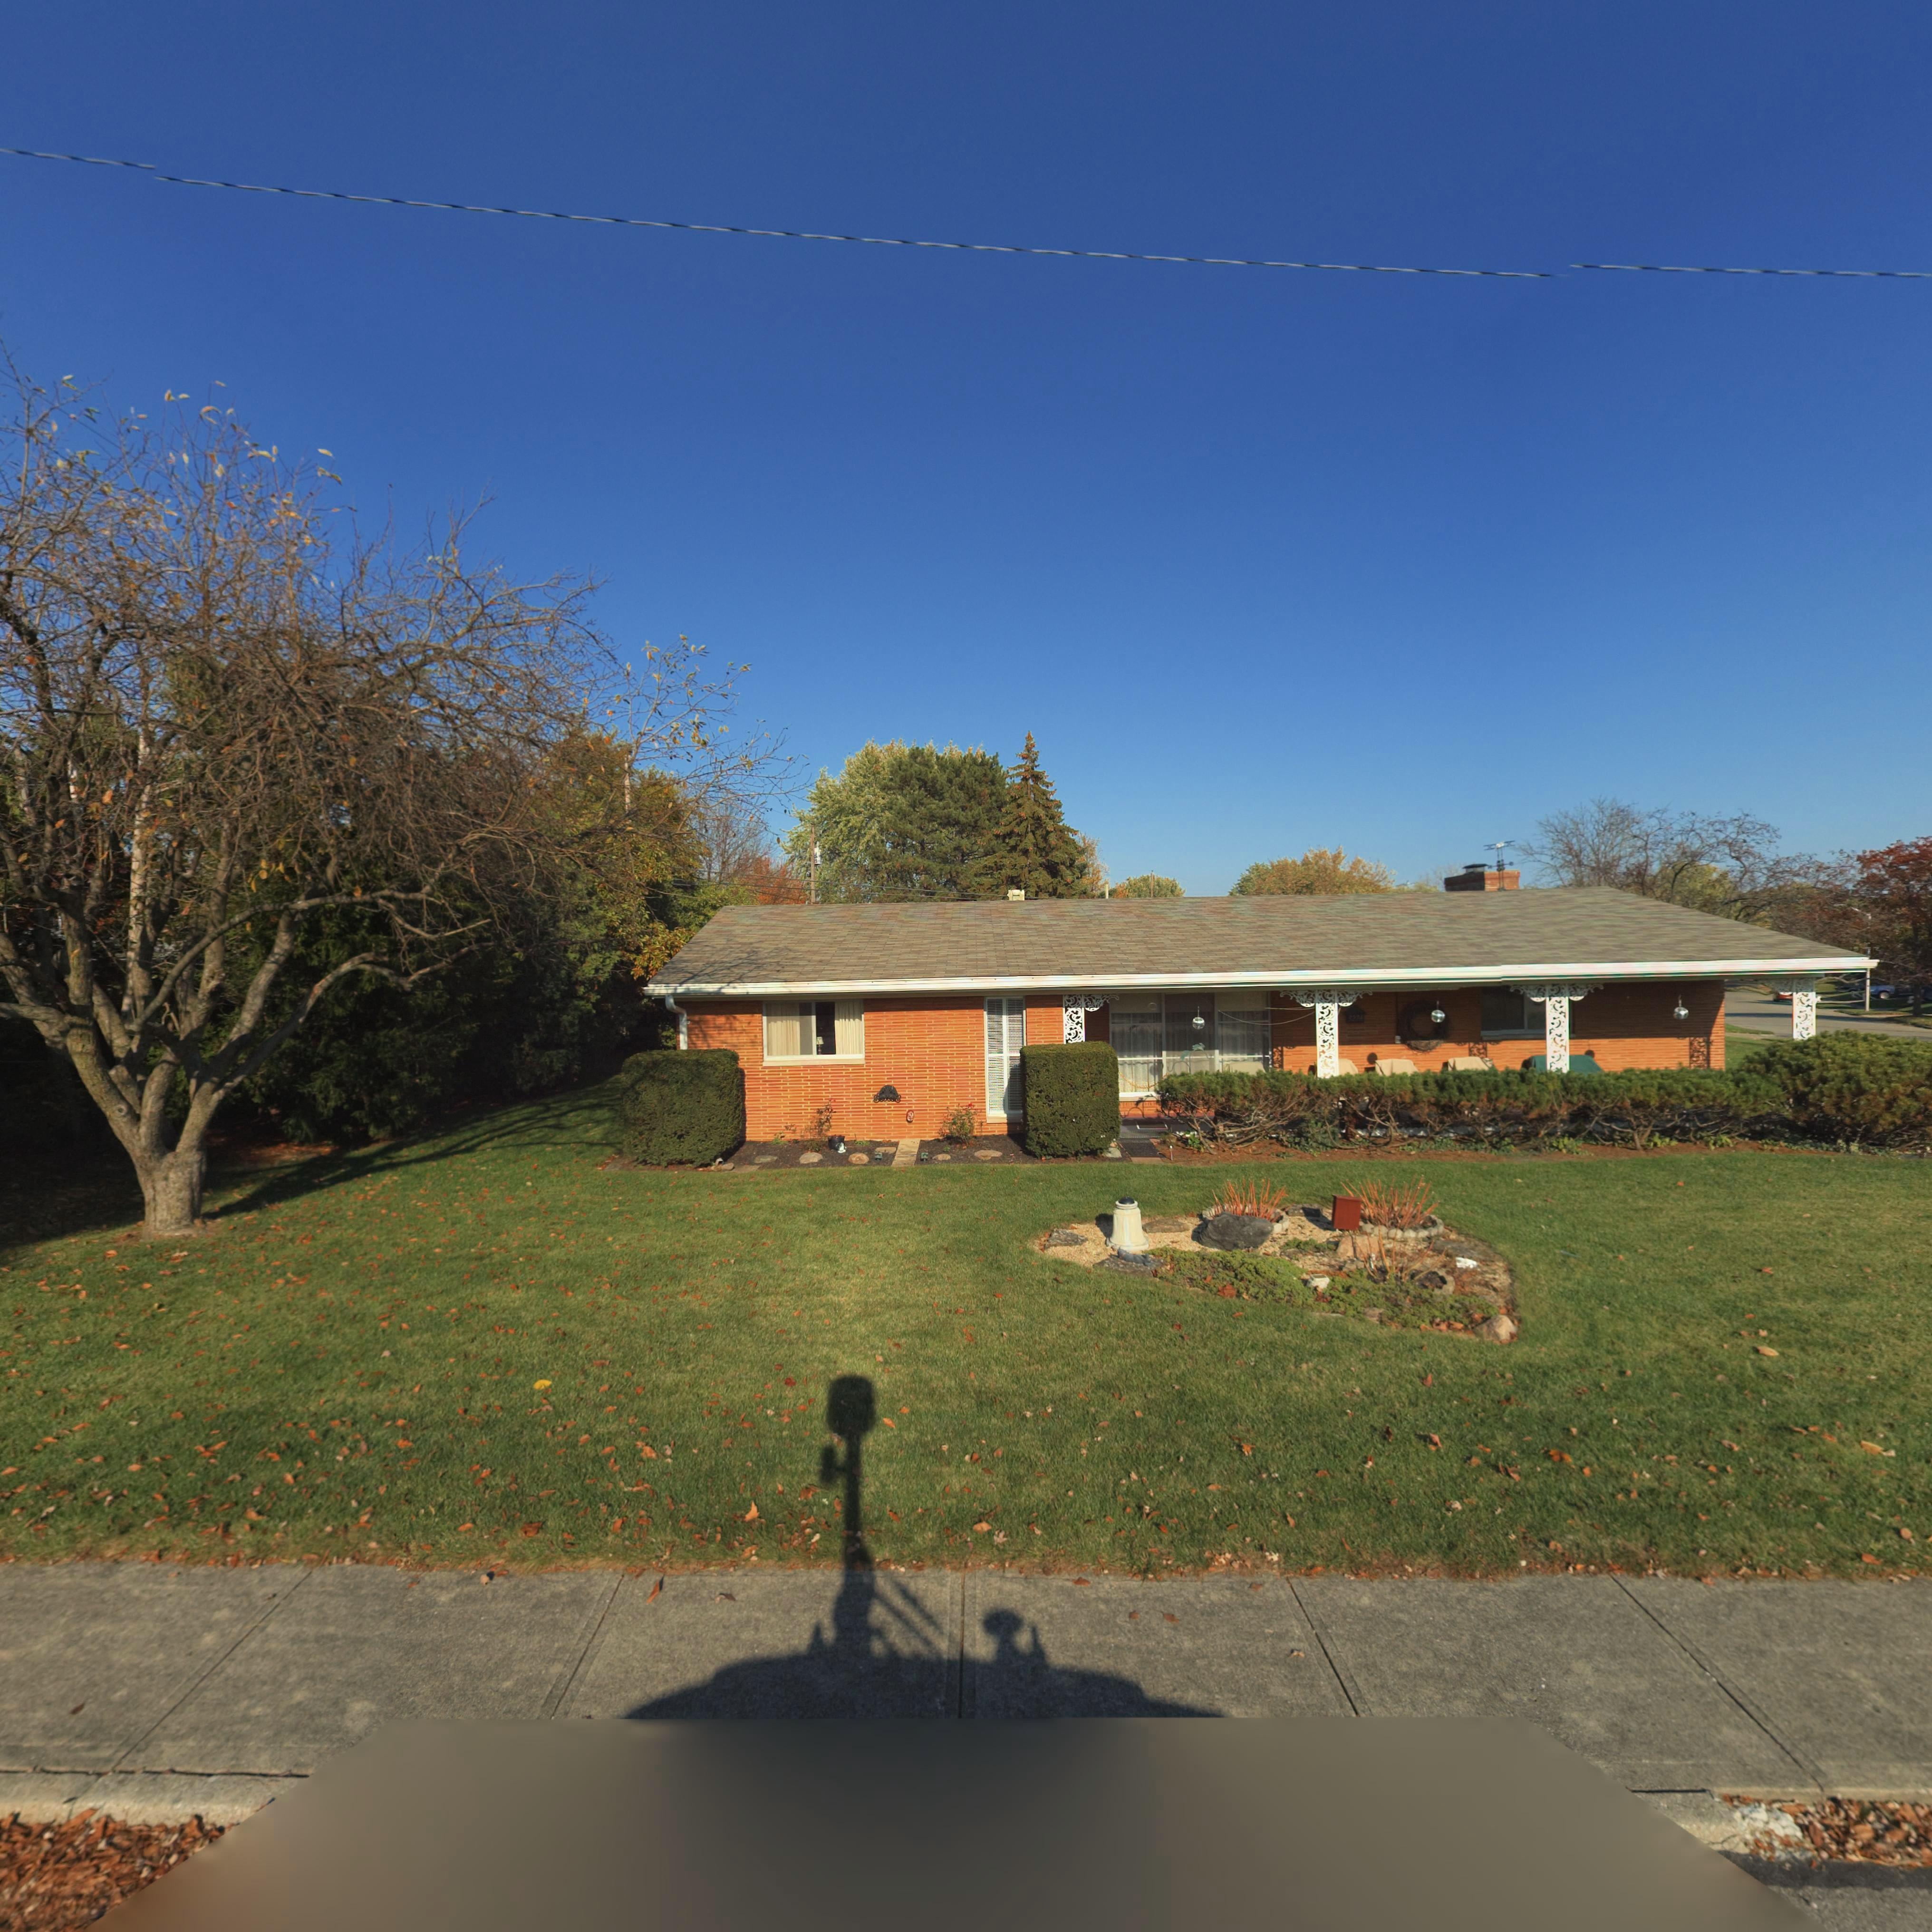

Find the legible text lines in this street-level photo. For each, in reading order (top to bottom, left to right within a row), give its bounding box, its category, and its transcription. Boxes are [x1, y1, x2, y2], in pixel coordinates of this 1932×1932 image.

[1347, 1014, 1362, 1021] StreetNumber: 3224